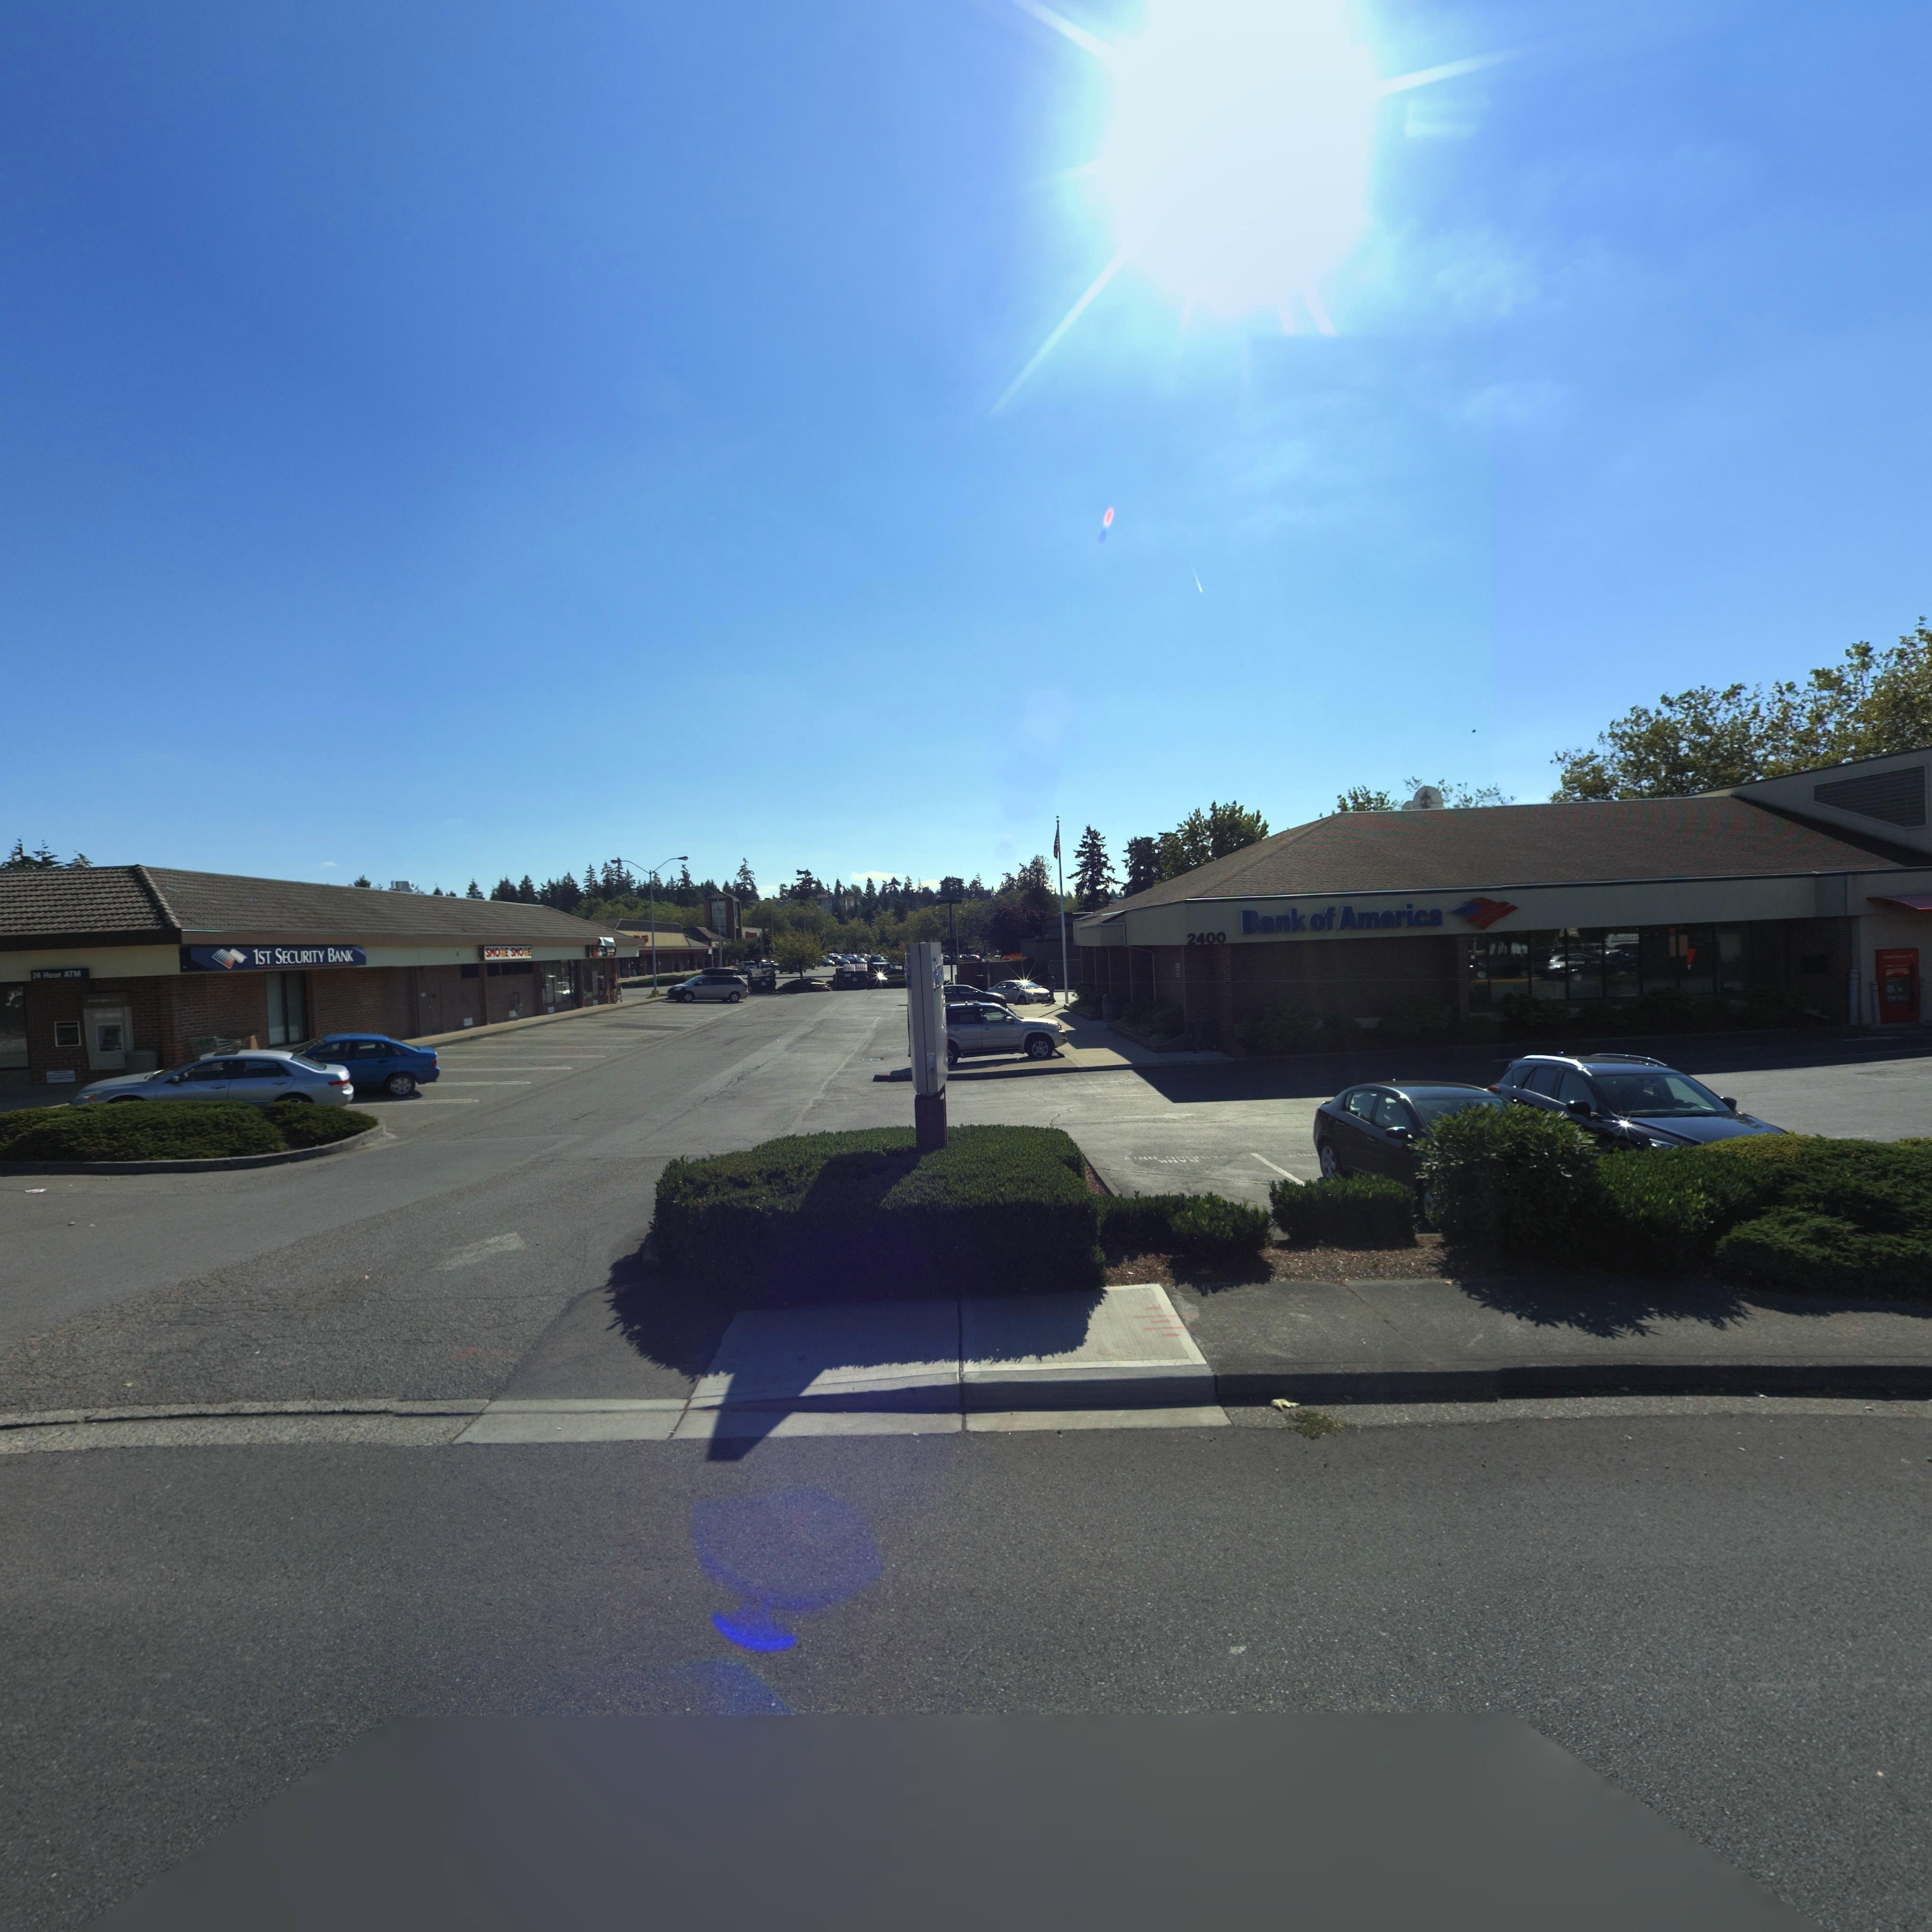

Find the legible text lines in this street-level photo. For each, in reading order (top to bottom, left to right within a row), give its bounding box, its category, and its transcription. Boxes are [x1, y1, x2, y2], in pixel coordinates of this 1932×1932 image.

[1239, 901, 1443, 935] BusinessName: Bank of America
[1187, 930, 1227, 944] StreetNumber: 2400
[253, 948, 354, 965] BusinessName: 1ST SECURITY BANK
[485, 946, 531, 957] BusinessName: SMO*E SMO*E